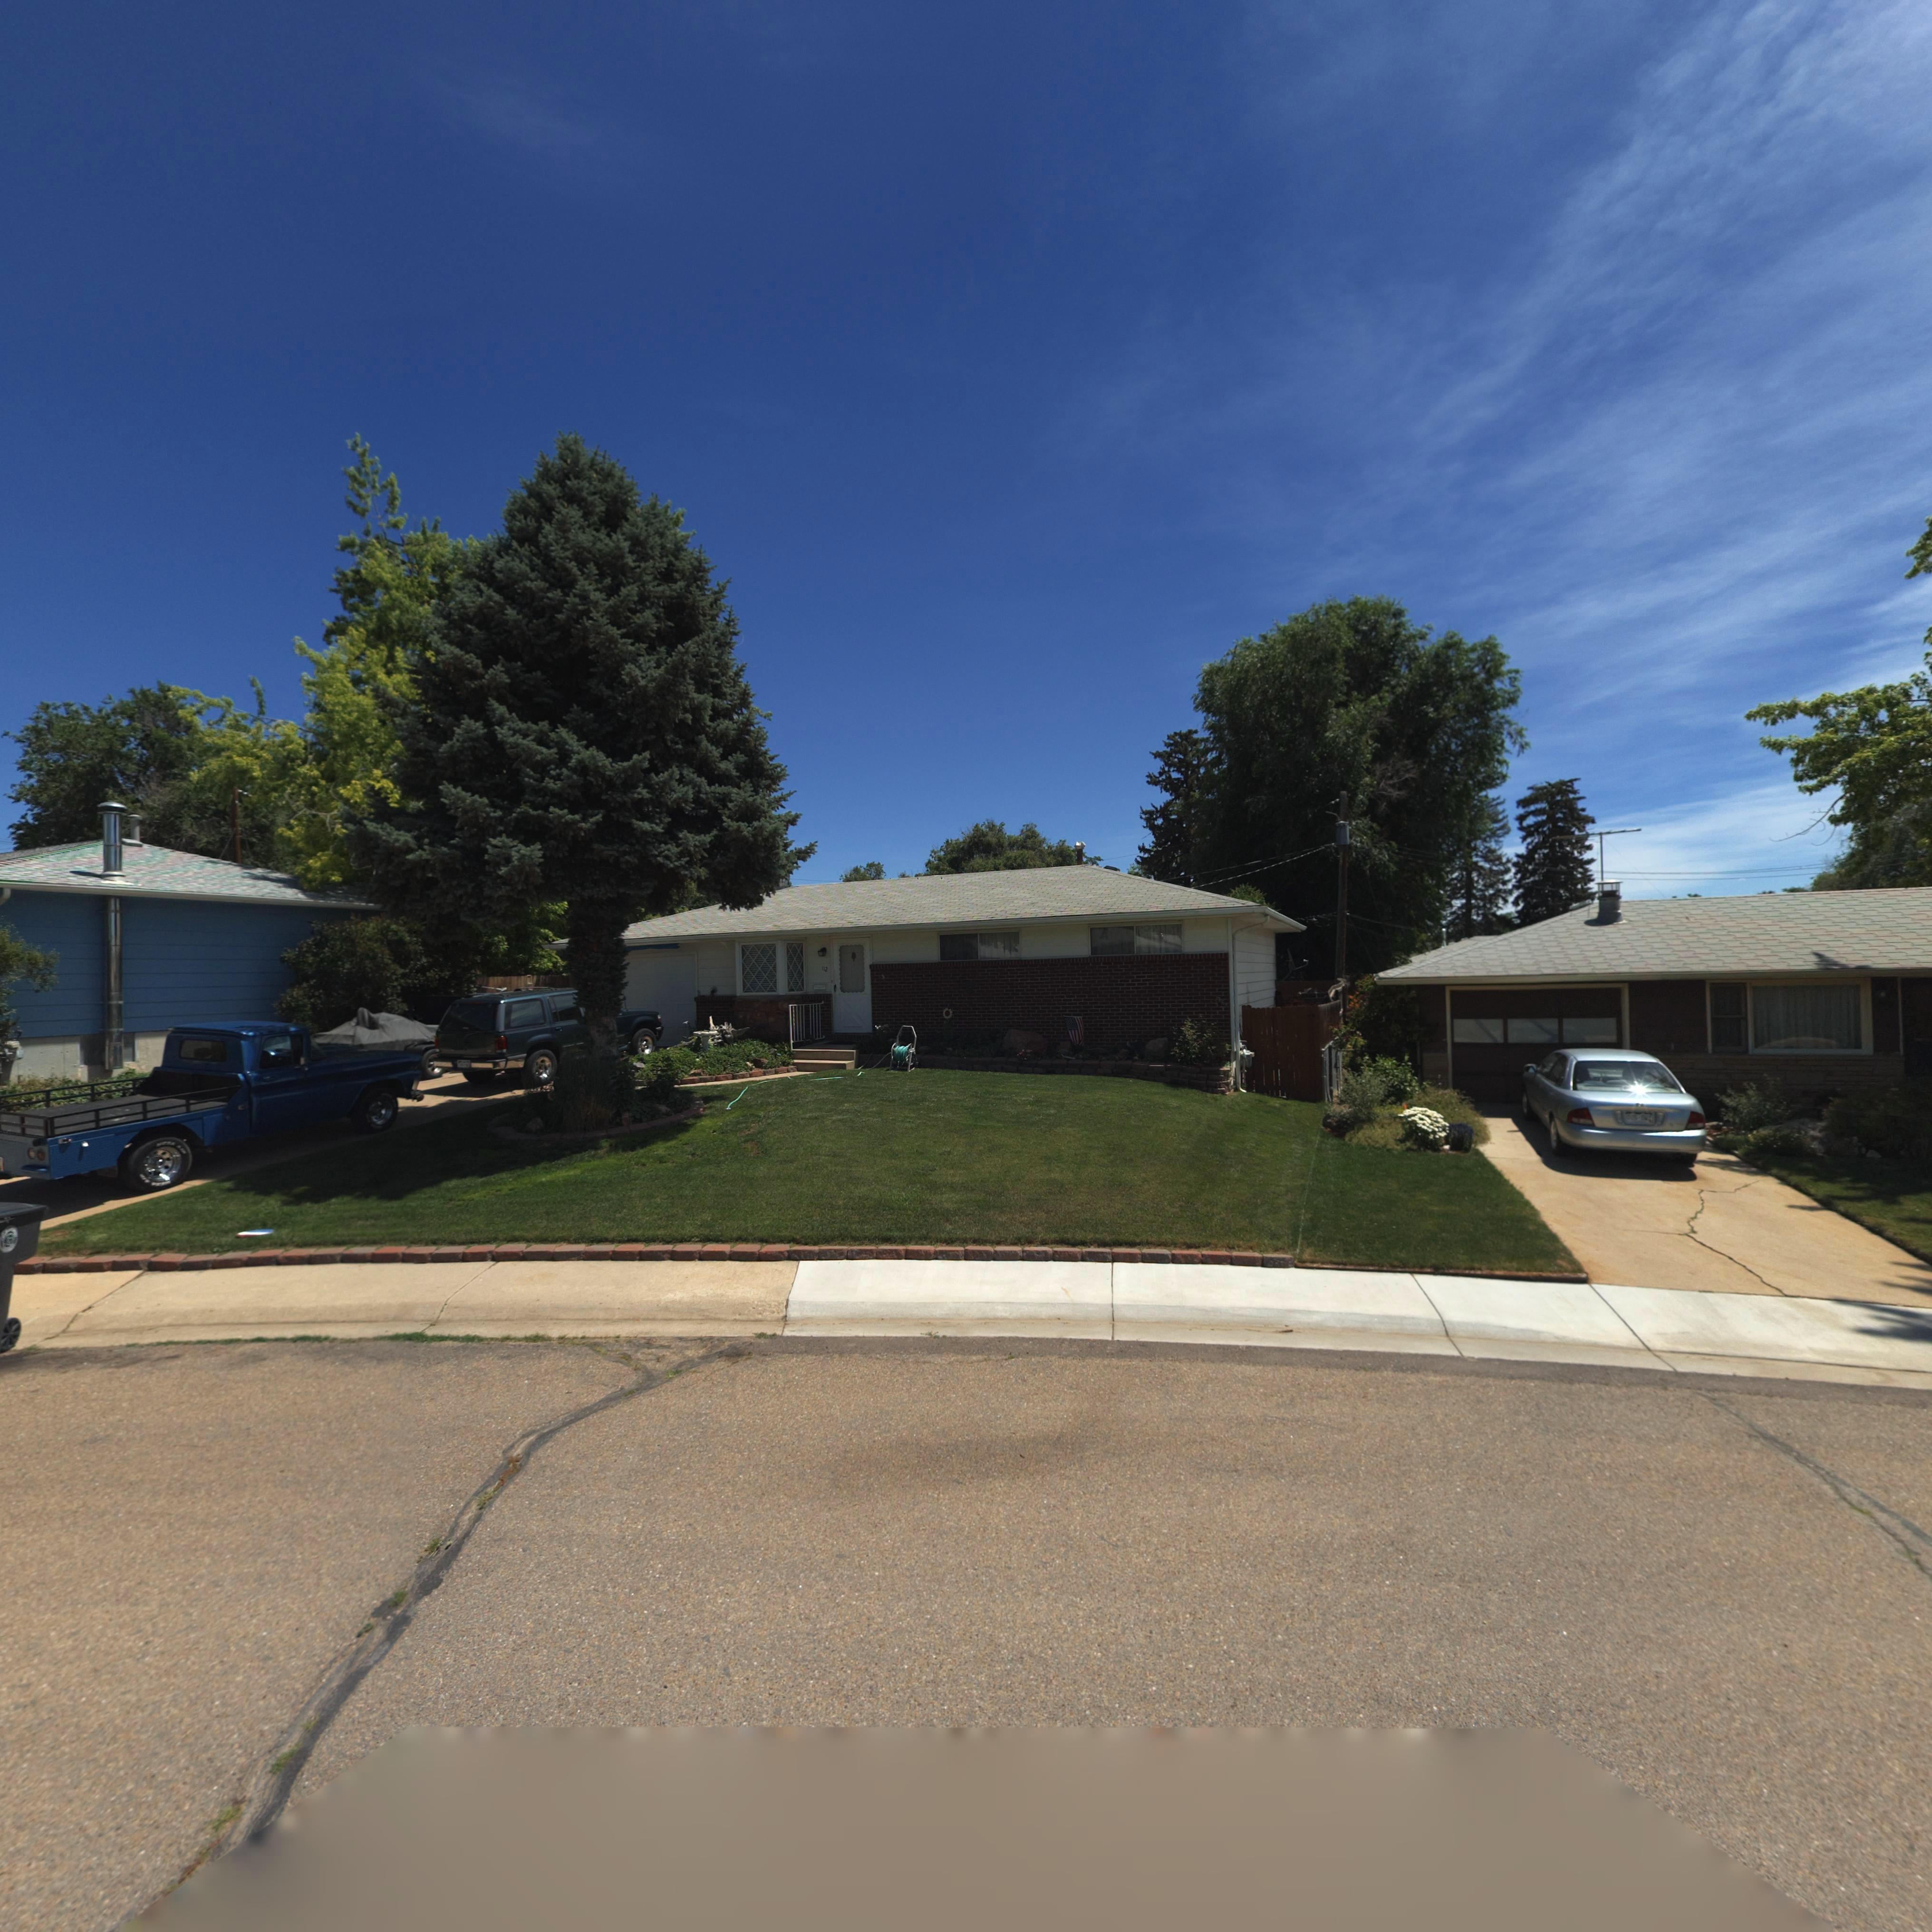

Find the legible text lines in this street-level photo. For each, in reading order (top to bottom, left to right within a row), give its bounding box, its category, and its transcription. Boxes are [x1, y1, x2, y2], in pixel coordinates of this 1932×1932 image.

[821, 966, 828, 972] StreetNumber: 112